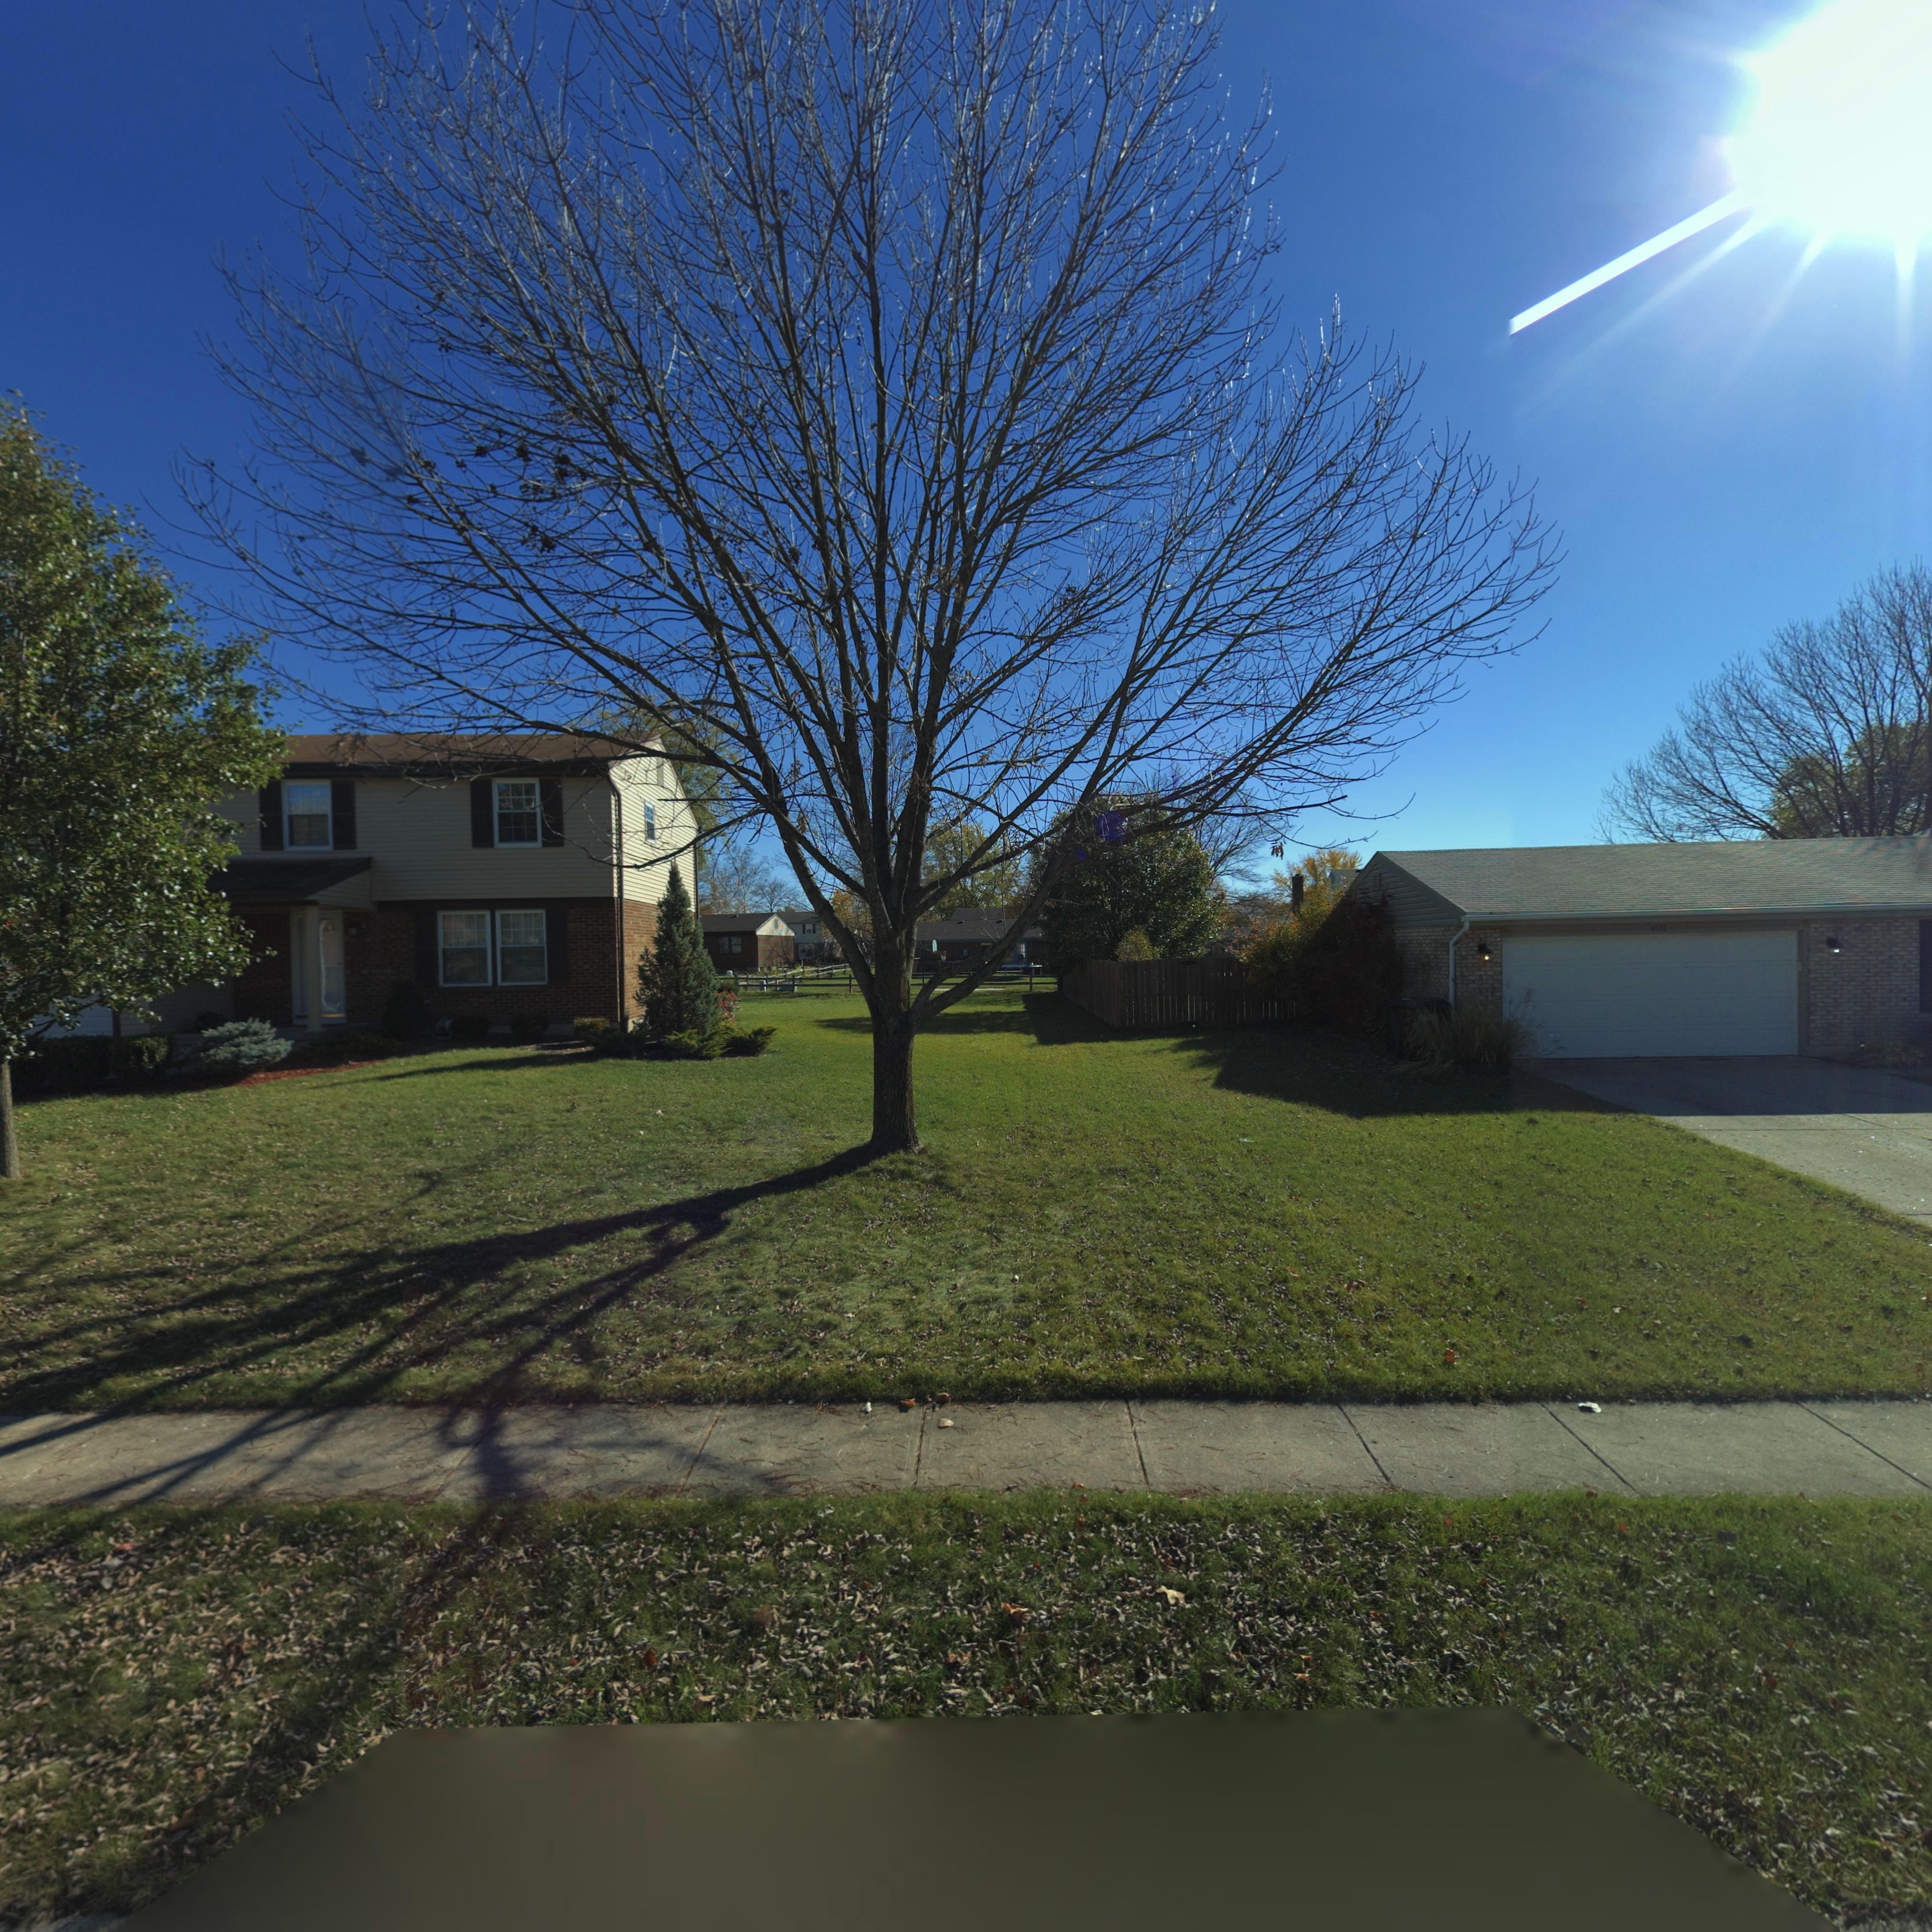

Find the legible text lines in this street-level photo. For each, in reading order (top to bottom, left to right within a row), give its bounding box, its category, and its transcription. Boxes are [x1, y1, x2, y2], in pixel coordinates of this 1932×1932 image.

[1650, 924, 1667, 933] StreetNumber: 4112